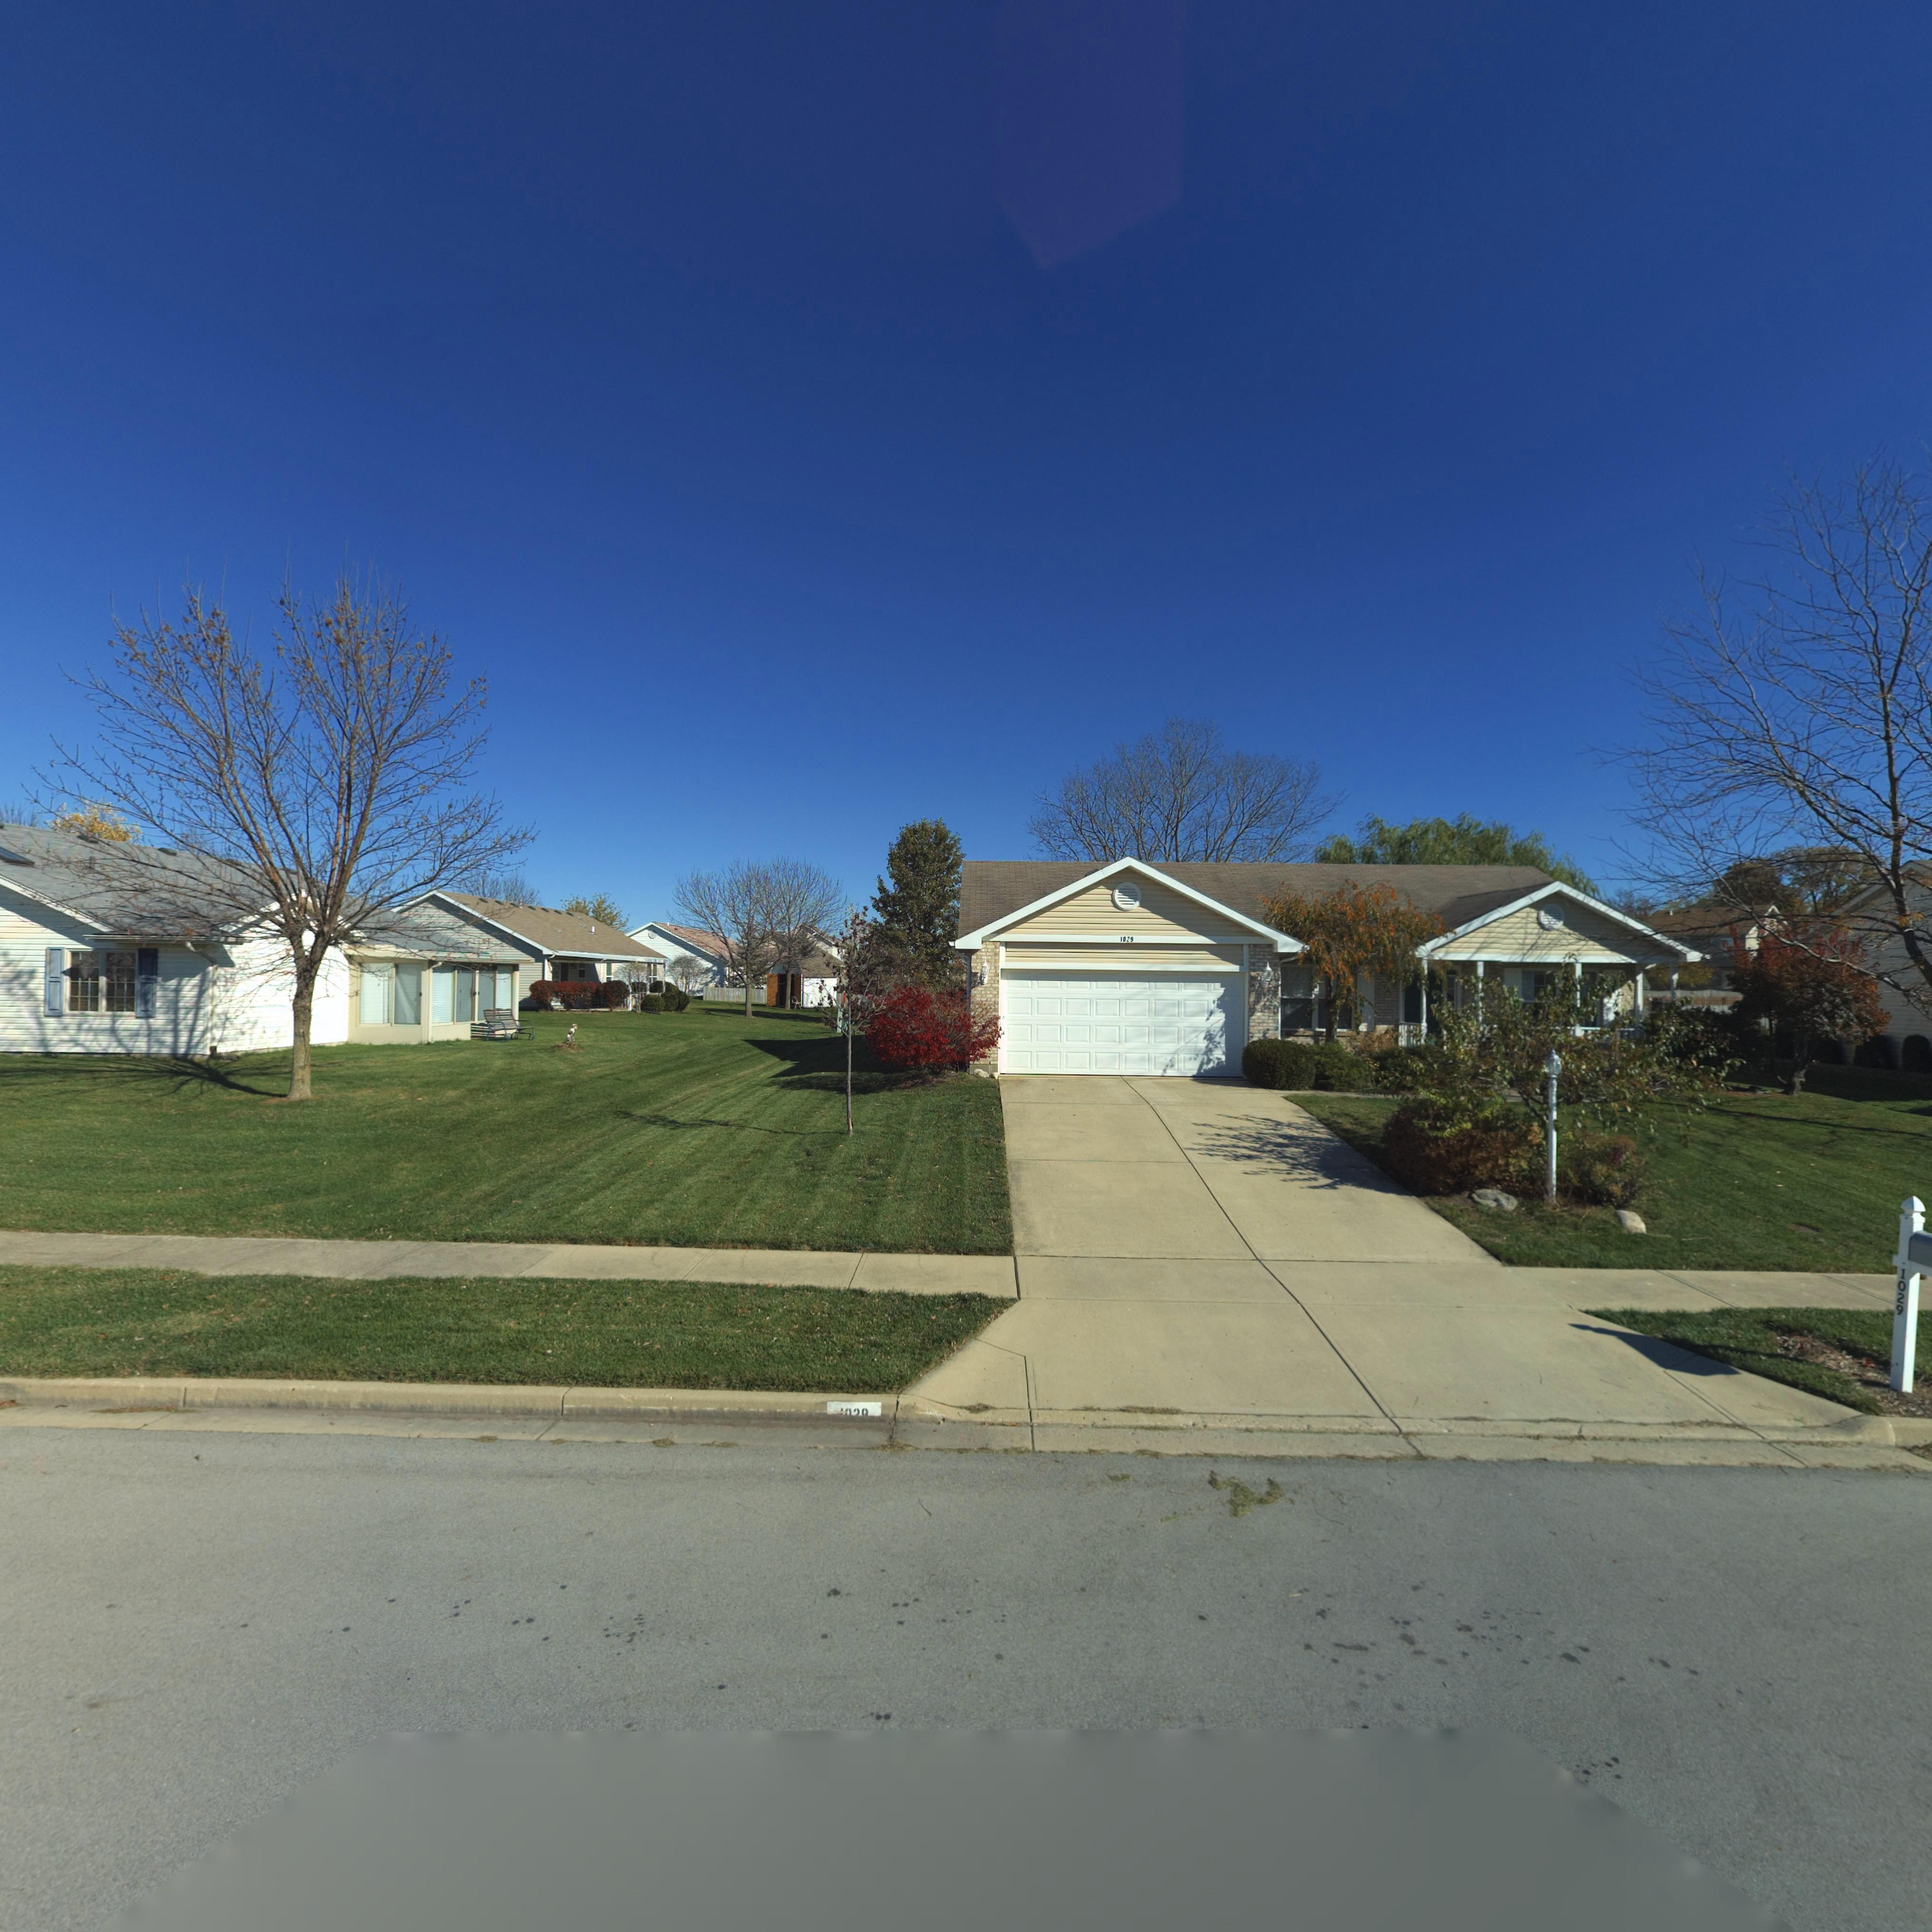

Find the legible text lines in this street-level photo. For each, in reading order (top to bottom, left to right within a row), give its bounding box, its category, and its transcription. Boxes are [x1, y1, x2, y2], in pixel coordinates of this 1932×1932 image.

[1119, 935, 1134, 943] StreetNumber: 1029
[1895, 1267, 1907, 1318] StreetNumber: 1029